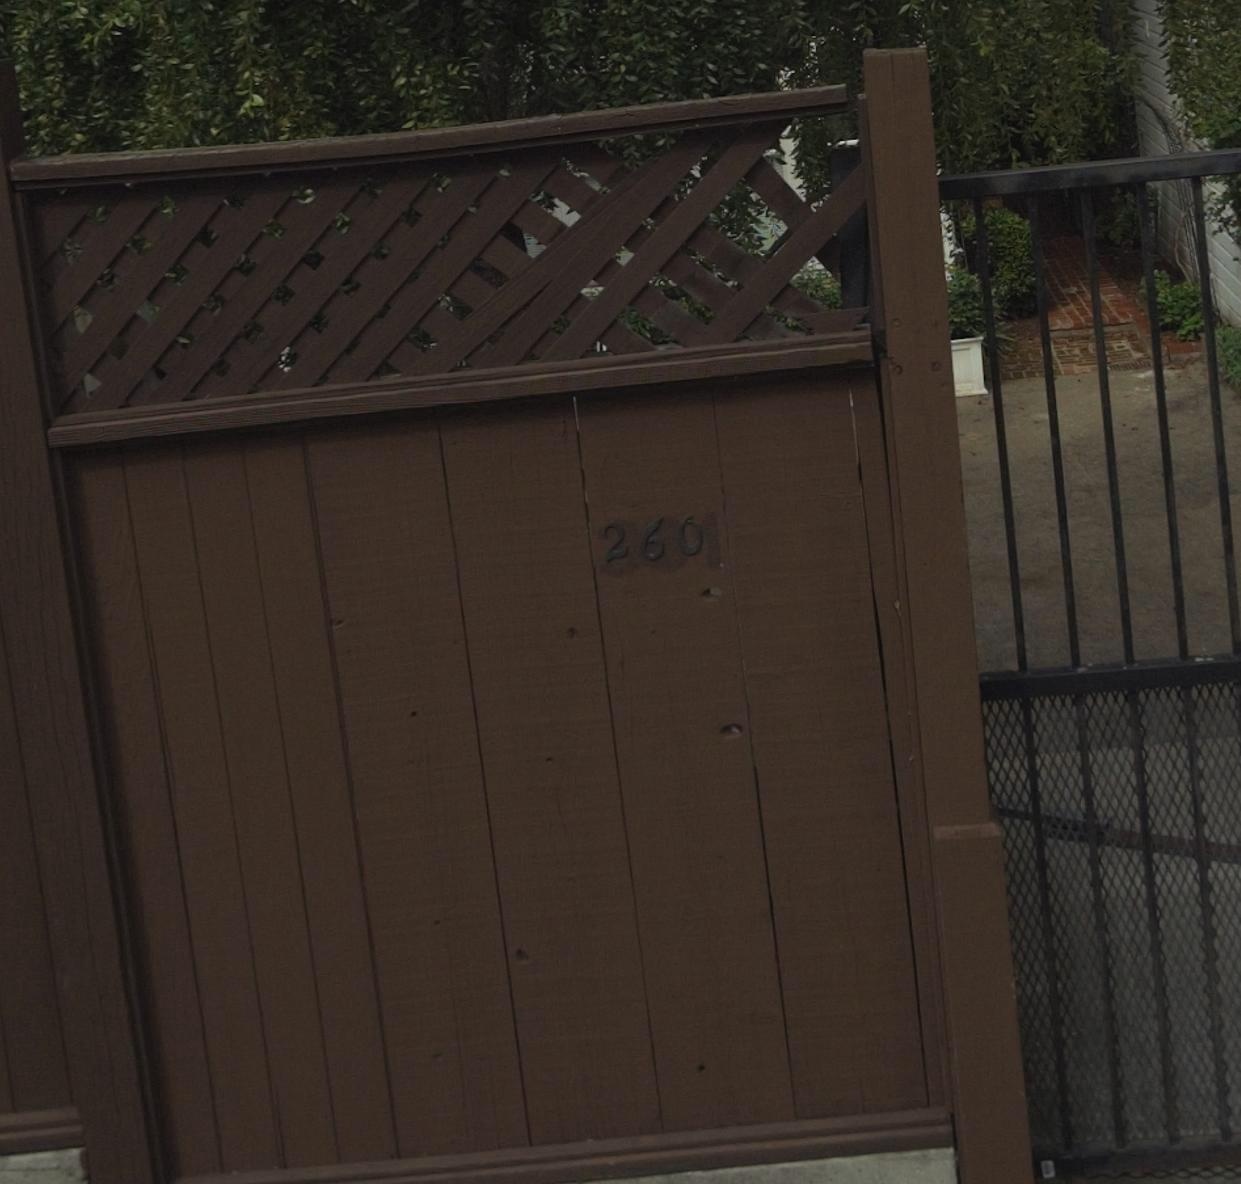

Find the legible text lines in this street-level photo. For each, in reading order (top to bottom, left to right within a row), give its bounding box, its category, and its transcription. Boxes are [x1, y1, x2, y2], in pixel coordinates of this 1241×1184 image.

[595, 511, 709, 568] StreetNumber: 260